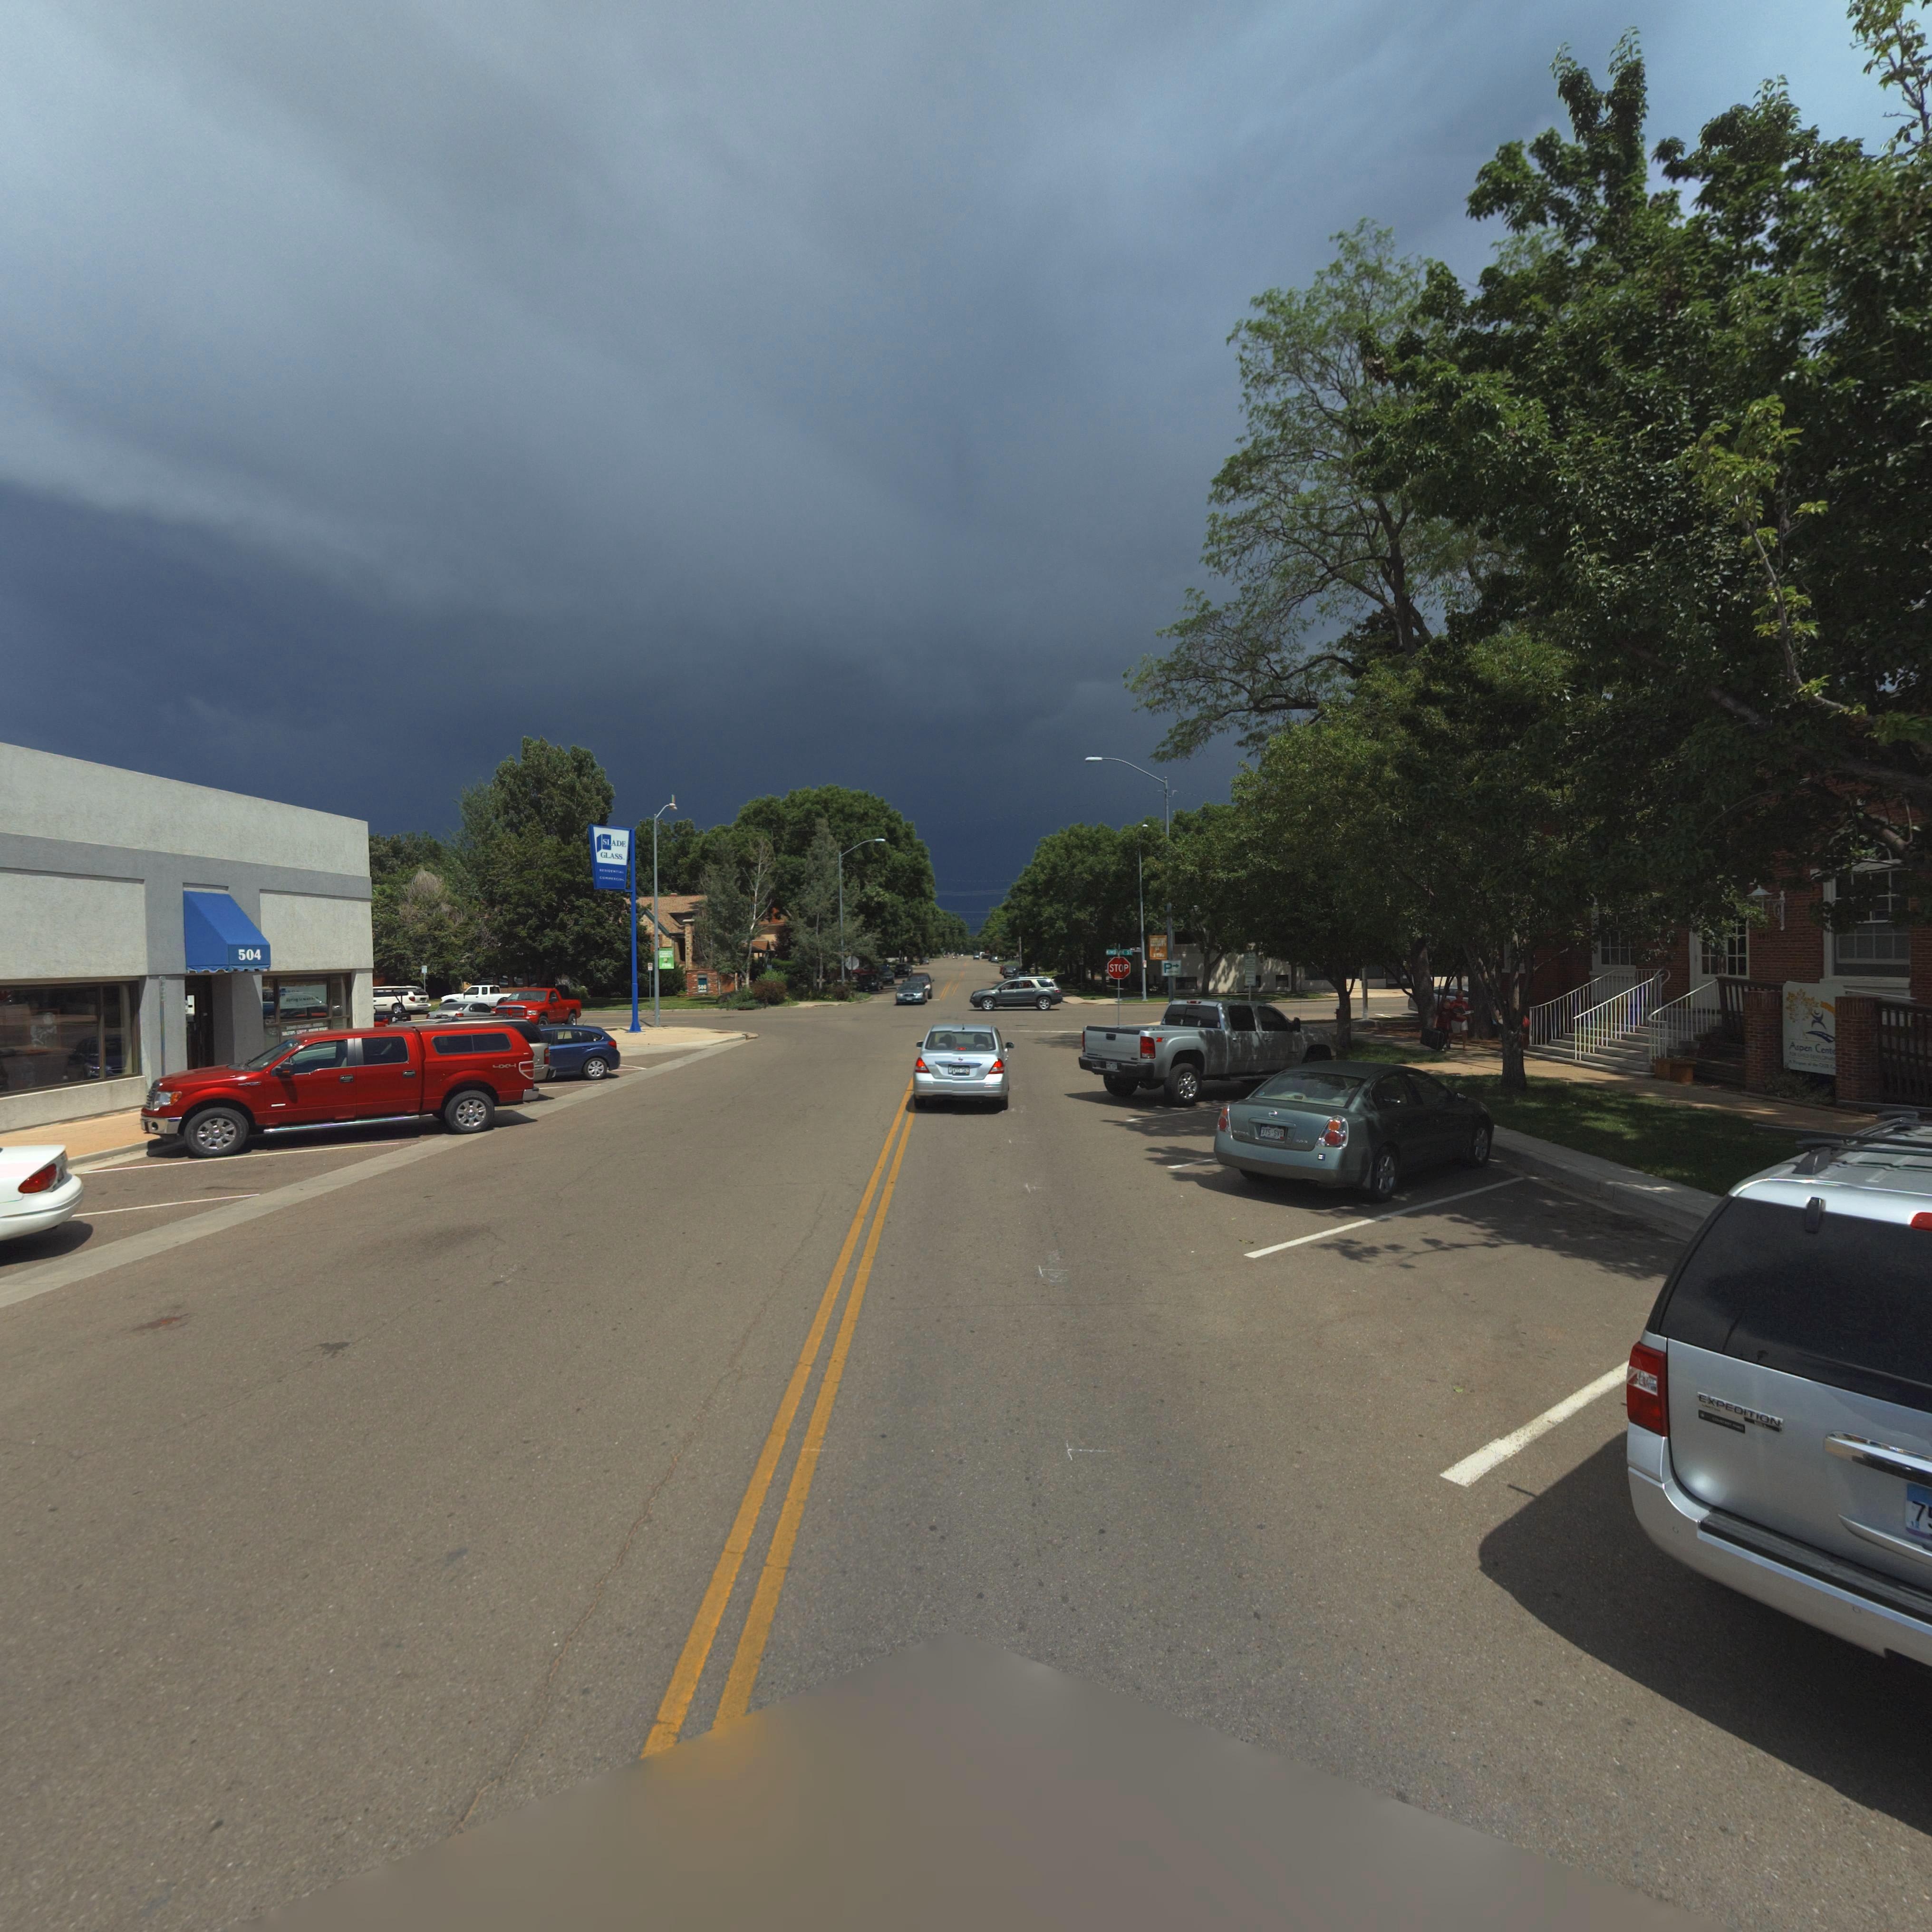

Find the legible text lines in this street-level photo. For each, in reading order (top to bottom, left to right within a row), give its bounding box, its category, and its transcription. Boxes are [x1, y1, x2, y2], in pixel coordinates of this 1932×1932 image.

[602, 839, 626, 847] BusinessName: SLADE
[600, 851, 623, 860] BusinessName: GLASS
[238, 948, 261, 960] StreetNumber: 504
[1106, 950, 1131, 955] StreetName: KIMB**K ST
[698, 985, 706, 990] StreetNumber: 500